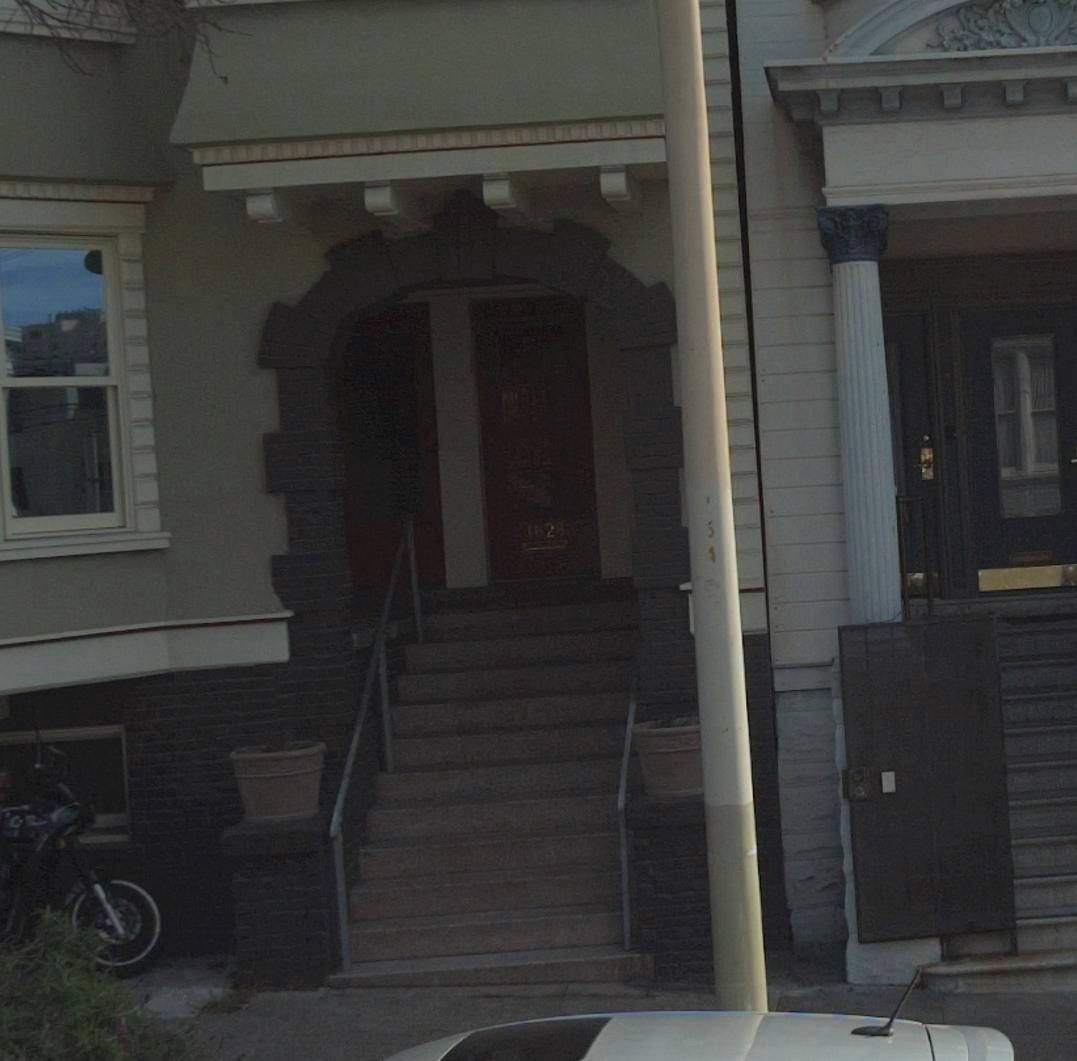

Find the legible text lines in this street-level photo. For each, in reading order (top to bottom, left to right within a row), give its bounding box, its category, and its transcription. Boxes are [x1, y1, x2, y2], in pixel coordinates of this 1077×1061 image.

[525, 519, 569, 543] StreetNumber: 1628
[703, 516, 717, 542] None: 5